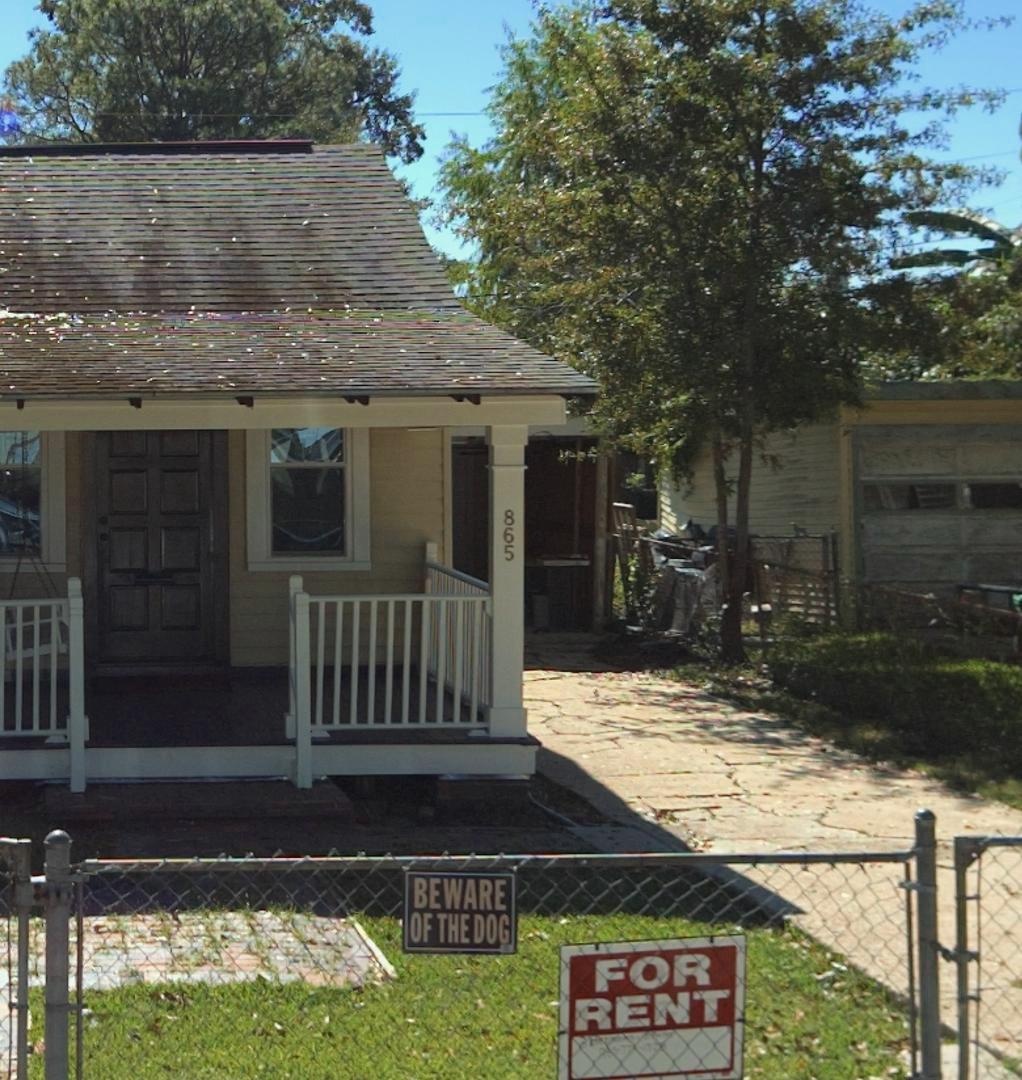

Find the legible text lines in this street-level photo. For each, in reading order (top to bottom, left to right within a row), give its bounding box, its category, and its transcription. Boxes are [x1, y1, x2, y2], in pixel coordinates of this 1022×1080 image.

[502, 508, 516, 562] StreetNumber: 865
[412, 876, 507, 912] None: BEWARE
[409, 911, 511, 947] None: OF THE DOG
[594, 953, 712, 994] None: FOR
[574, 988, 731, 1032] None: RENT